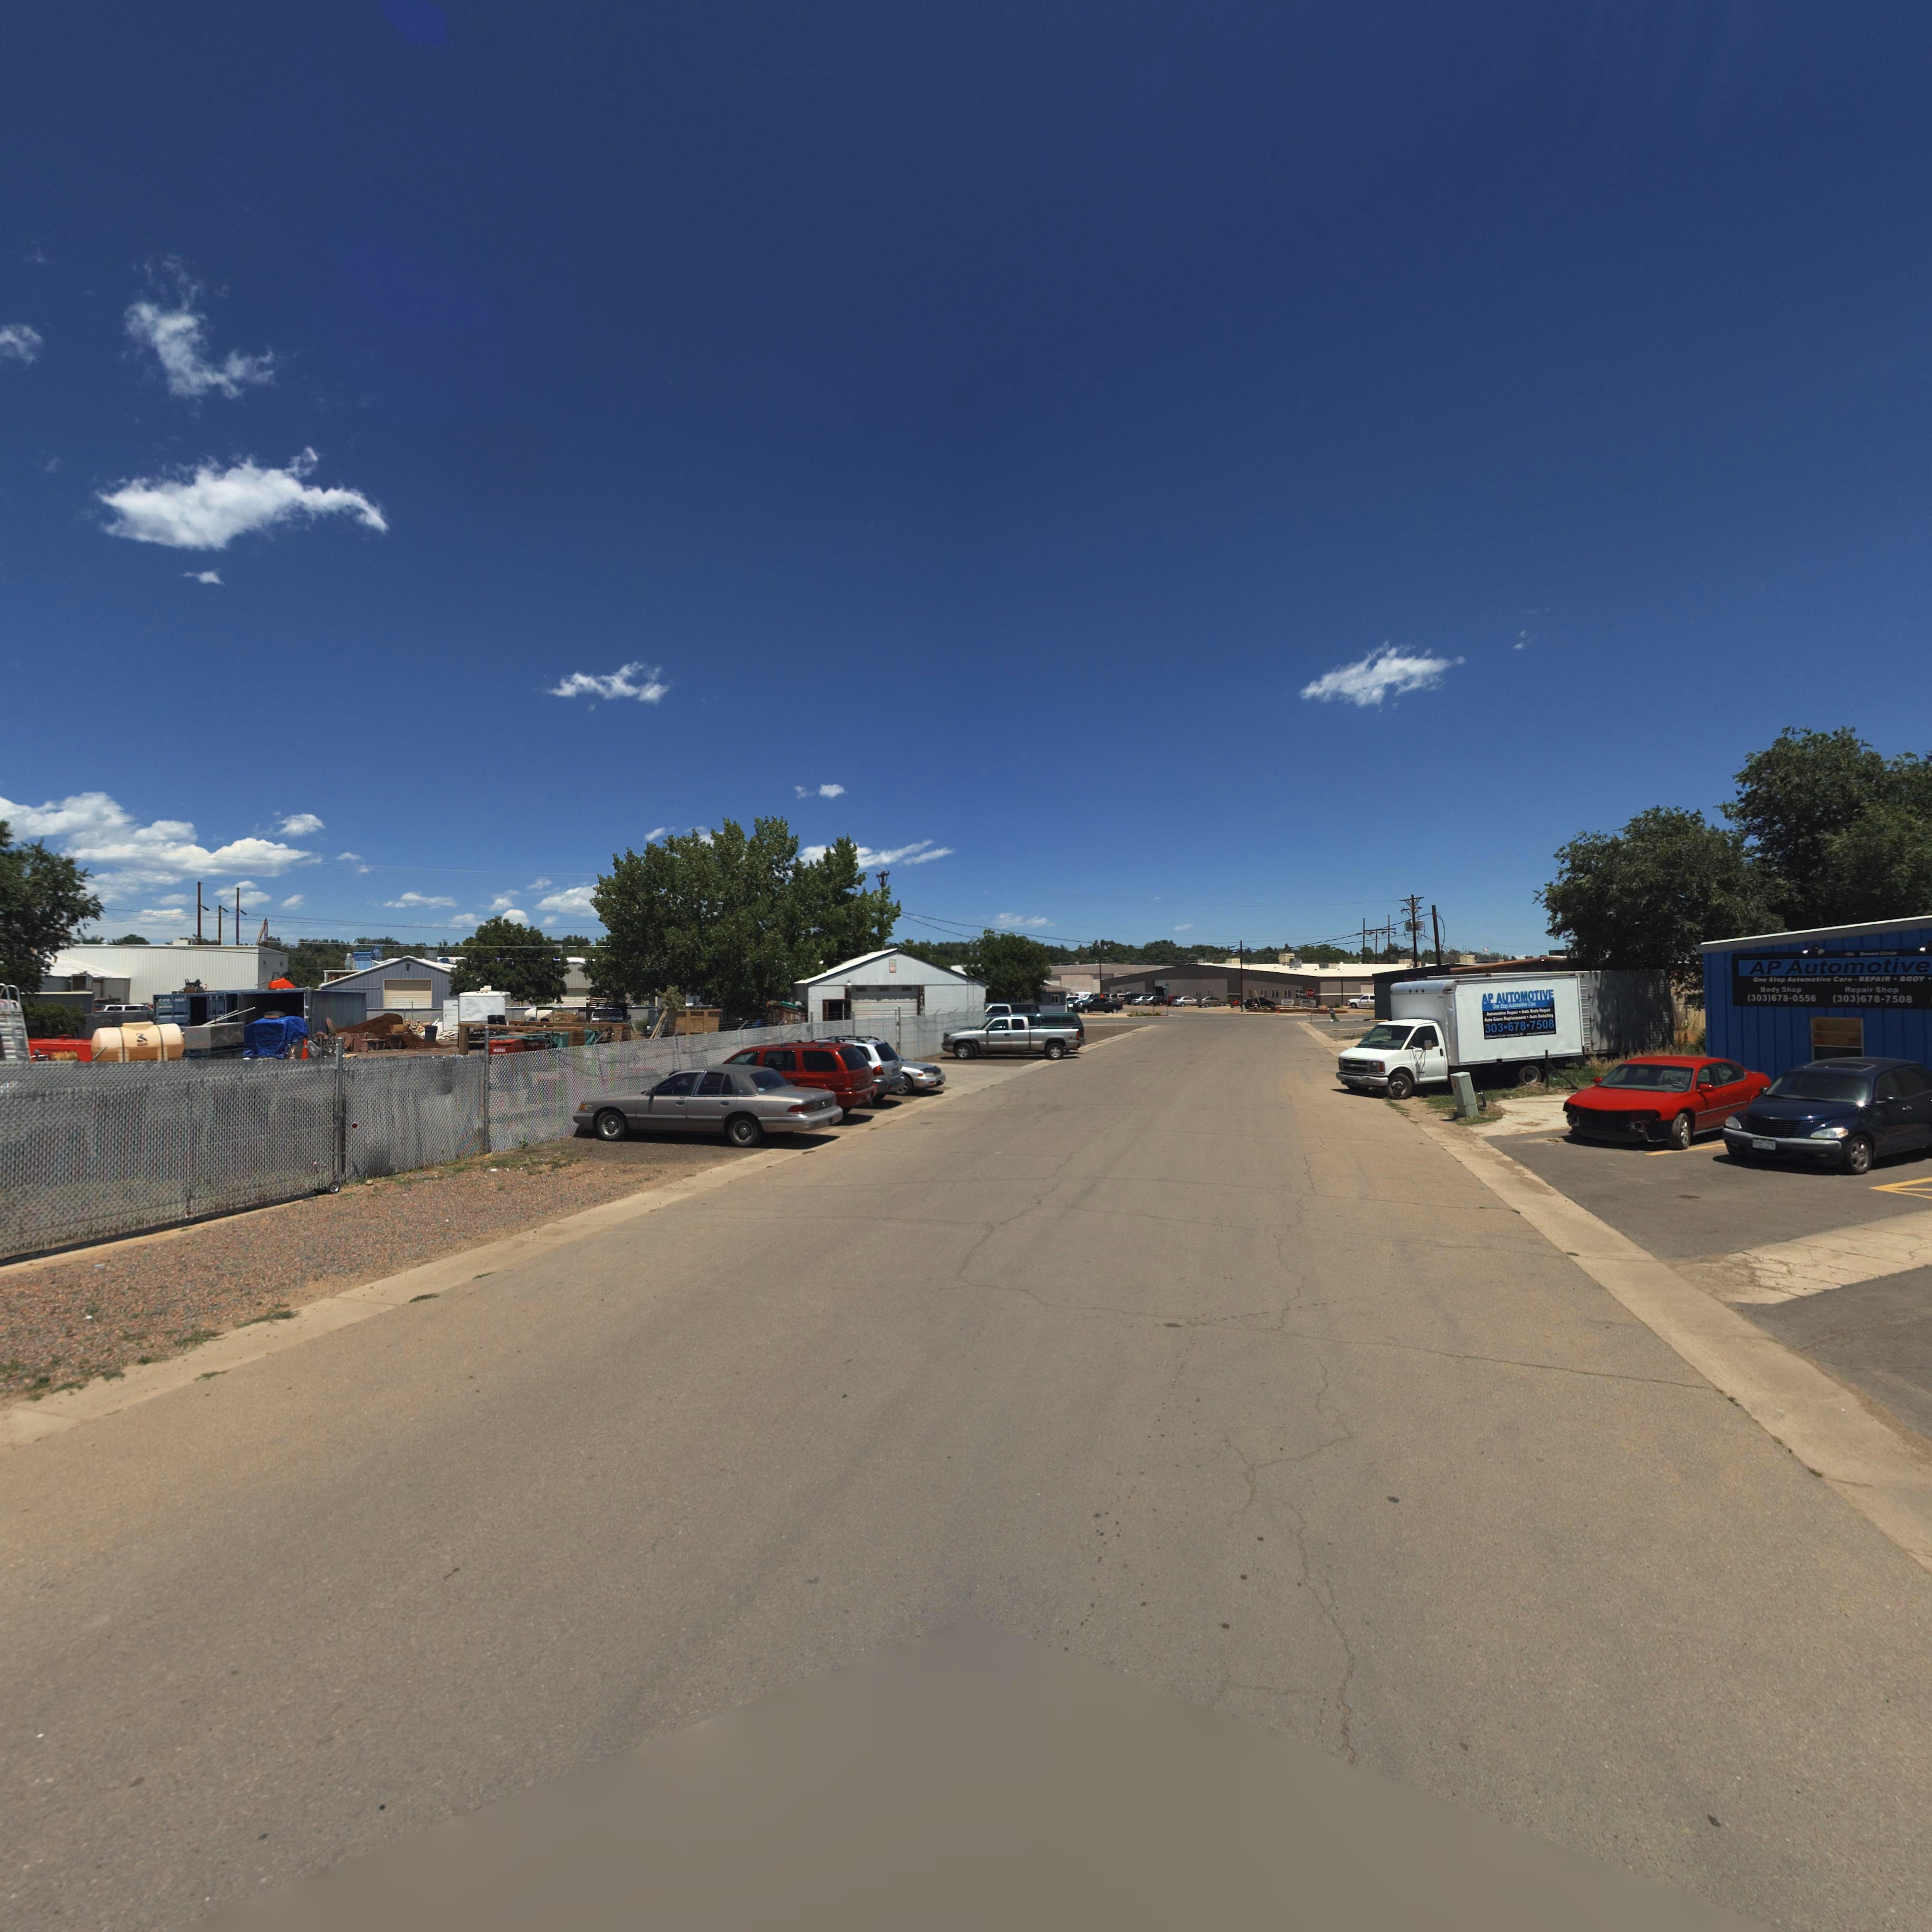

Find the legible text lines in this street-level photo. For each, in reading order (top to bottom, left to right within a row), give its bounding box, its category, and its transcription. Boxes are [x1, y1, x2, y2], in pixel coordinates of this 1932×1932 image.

[1845, 952, 1854, 956] StreetNumber: 12**
[1859, 950, 1897, 956] StreetName: ***** Circ**
[1746, 956, 1931, 976] BusinessName: AP Automotive
[1302, 1000, 1310, 1004] BusinessName: W*